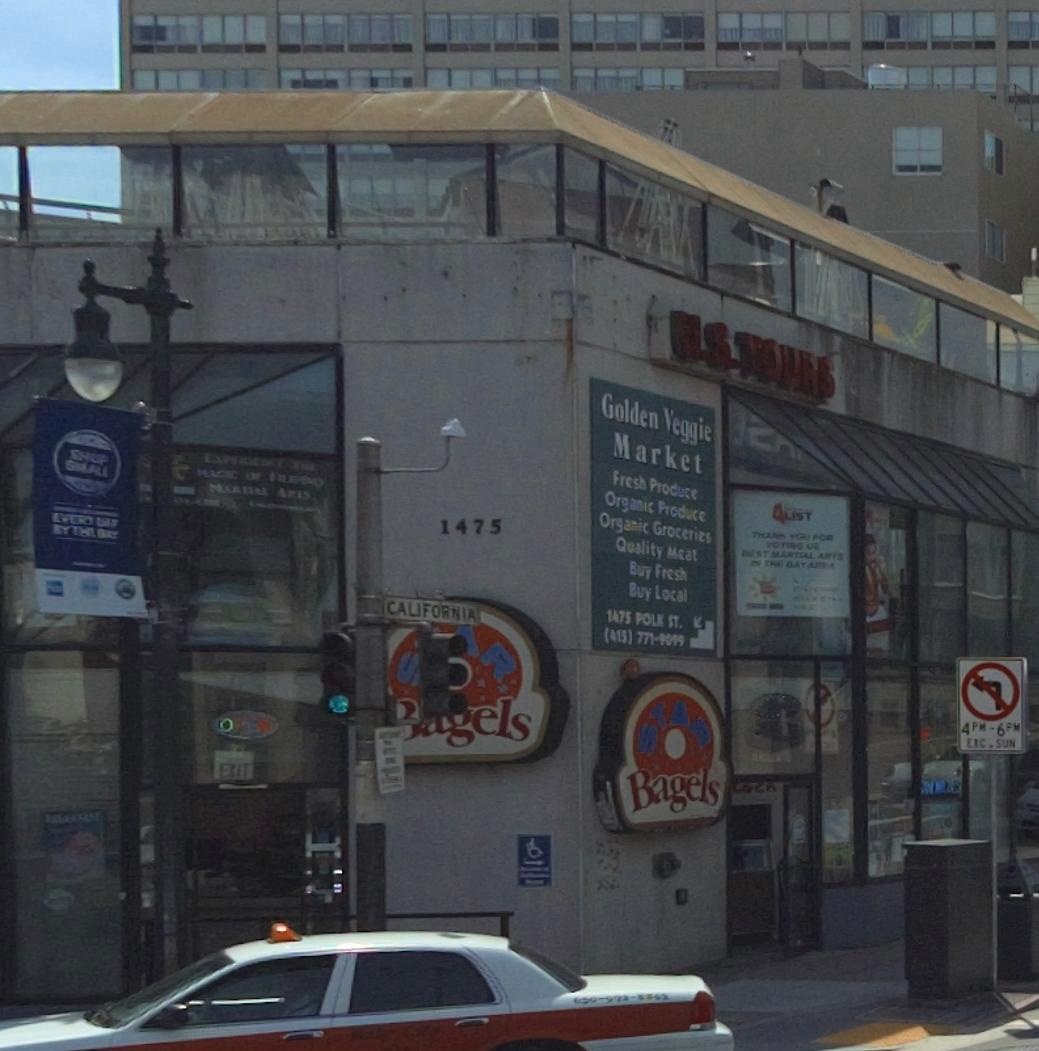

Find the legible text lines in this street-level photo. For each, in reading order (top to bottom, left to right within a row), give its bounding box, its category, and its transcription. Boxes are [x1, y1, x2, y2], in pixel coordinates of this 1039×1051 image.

[670, 307, 838, 401] BusinessName: U.S. TOURS
[599, 391, 714, 448] BusinessName: Golden Veggie
[612, 430, 705, 477] BusinessName: Market
[273, 486, 313, 501] None: ARTS
[612, 469, 700, 502] None: Fresh Produce
[439, 517, 503, 536] StreetNumber: 1475
[603, 489, 707, 524] None: Organic Produce
[597, 511, 713, 545] None: Organic Groceries
[614, 534, 699, 563] None: Quality Meat
[627, 559, 688, 582] None: Buy Fresh
[751, 530, 834, 542] None: THANK YOU FOR
[766, 542, 821, 551] None: VOTING US
[784, 511, 813, 522] None: LIST
[755, 550, 843, 560] None: ST MARTIAL ARTS
[785, 560, 836, 570] None: BAY AREA
[628, 580, 688, 604] None: Buy Local
[386, 600, 479, 623] StreetName: CALIFORNIA
[605, 607, 633, 626] StreetNumber: 1475
[634, 610, 684, 630] StreetName: POLK ST.
[603, 626, 685, 648] None: (415) 771-90*9
[478, 637, 518, 685] BusinessName: R
[218, 715, 271, 736] None: OP**
[471, 695, 533, 743] BusinessName: els
[637, 699, 712, 755] BusinessName: STAR
[959, 721, 1022, 737] None: 4PM-6PM
[967, 738, 1018, 749] None: EXC.SUN
[219, 762, 254, 780] None: EXIT
[625, 766, 721, 815] BusinessName: Bagels
[742, 779, 778, 795] None: OCA
[573, 993, 630, 1006] None: 6**-9**